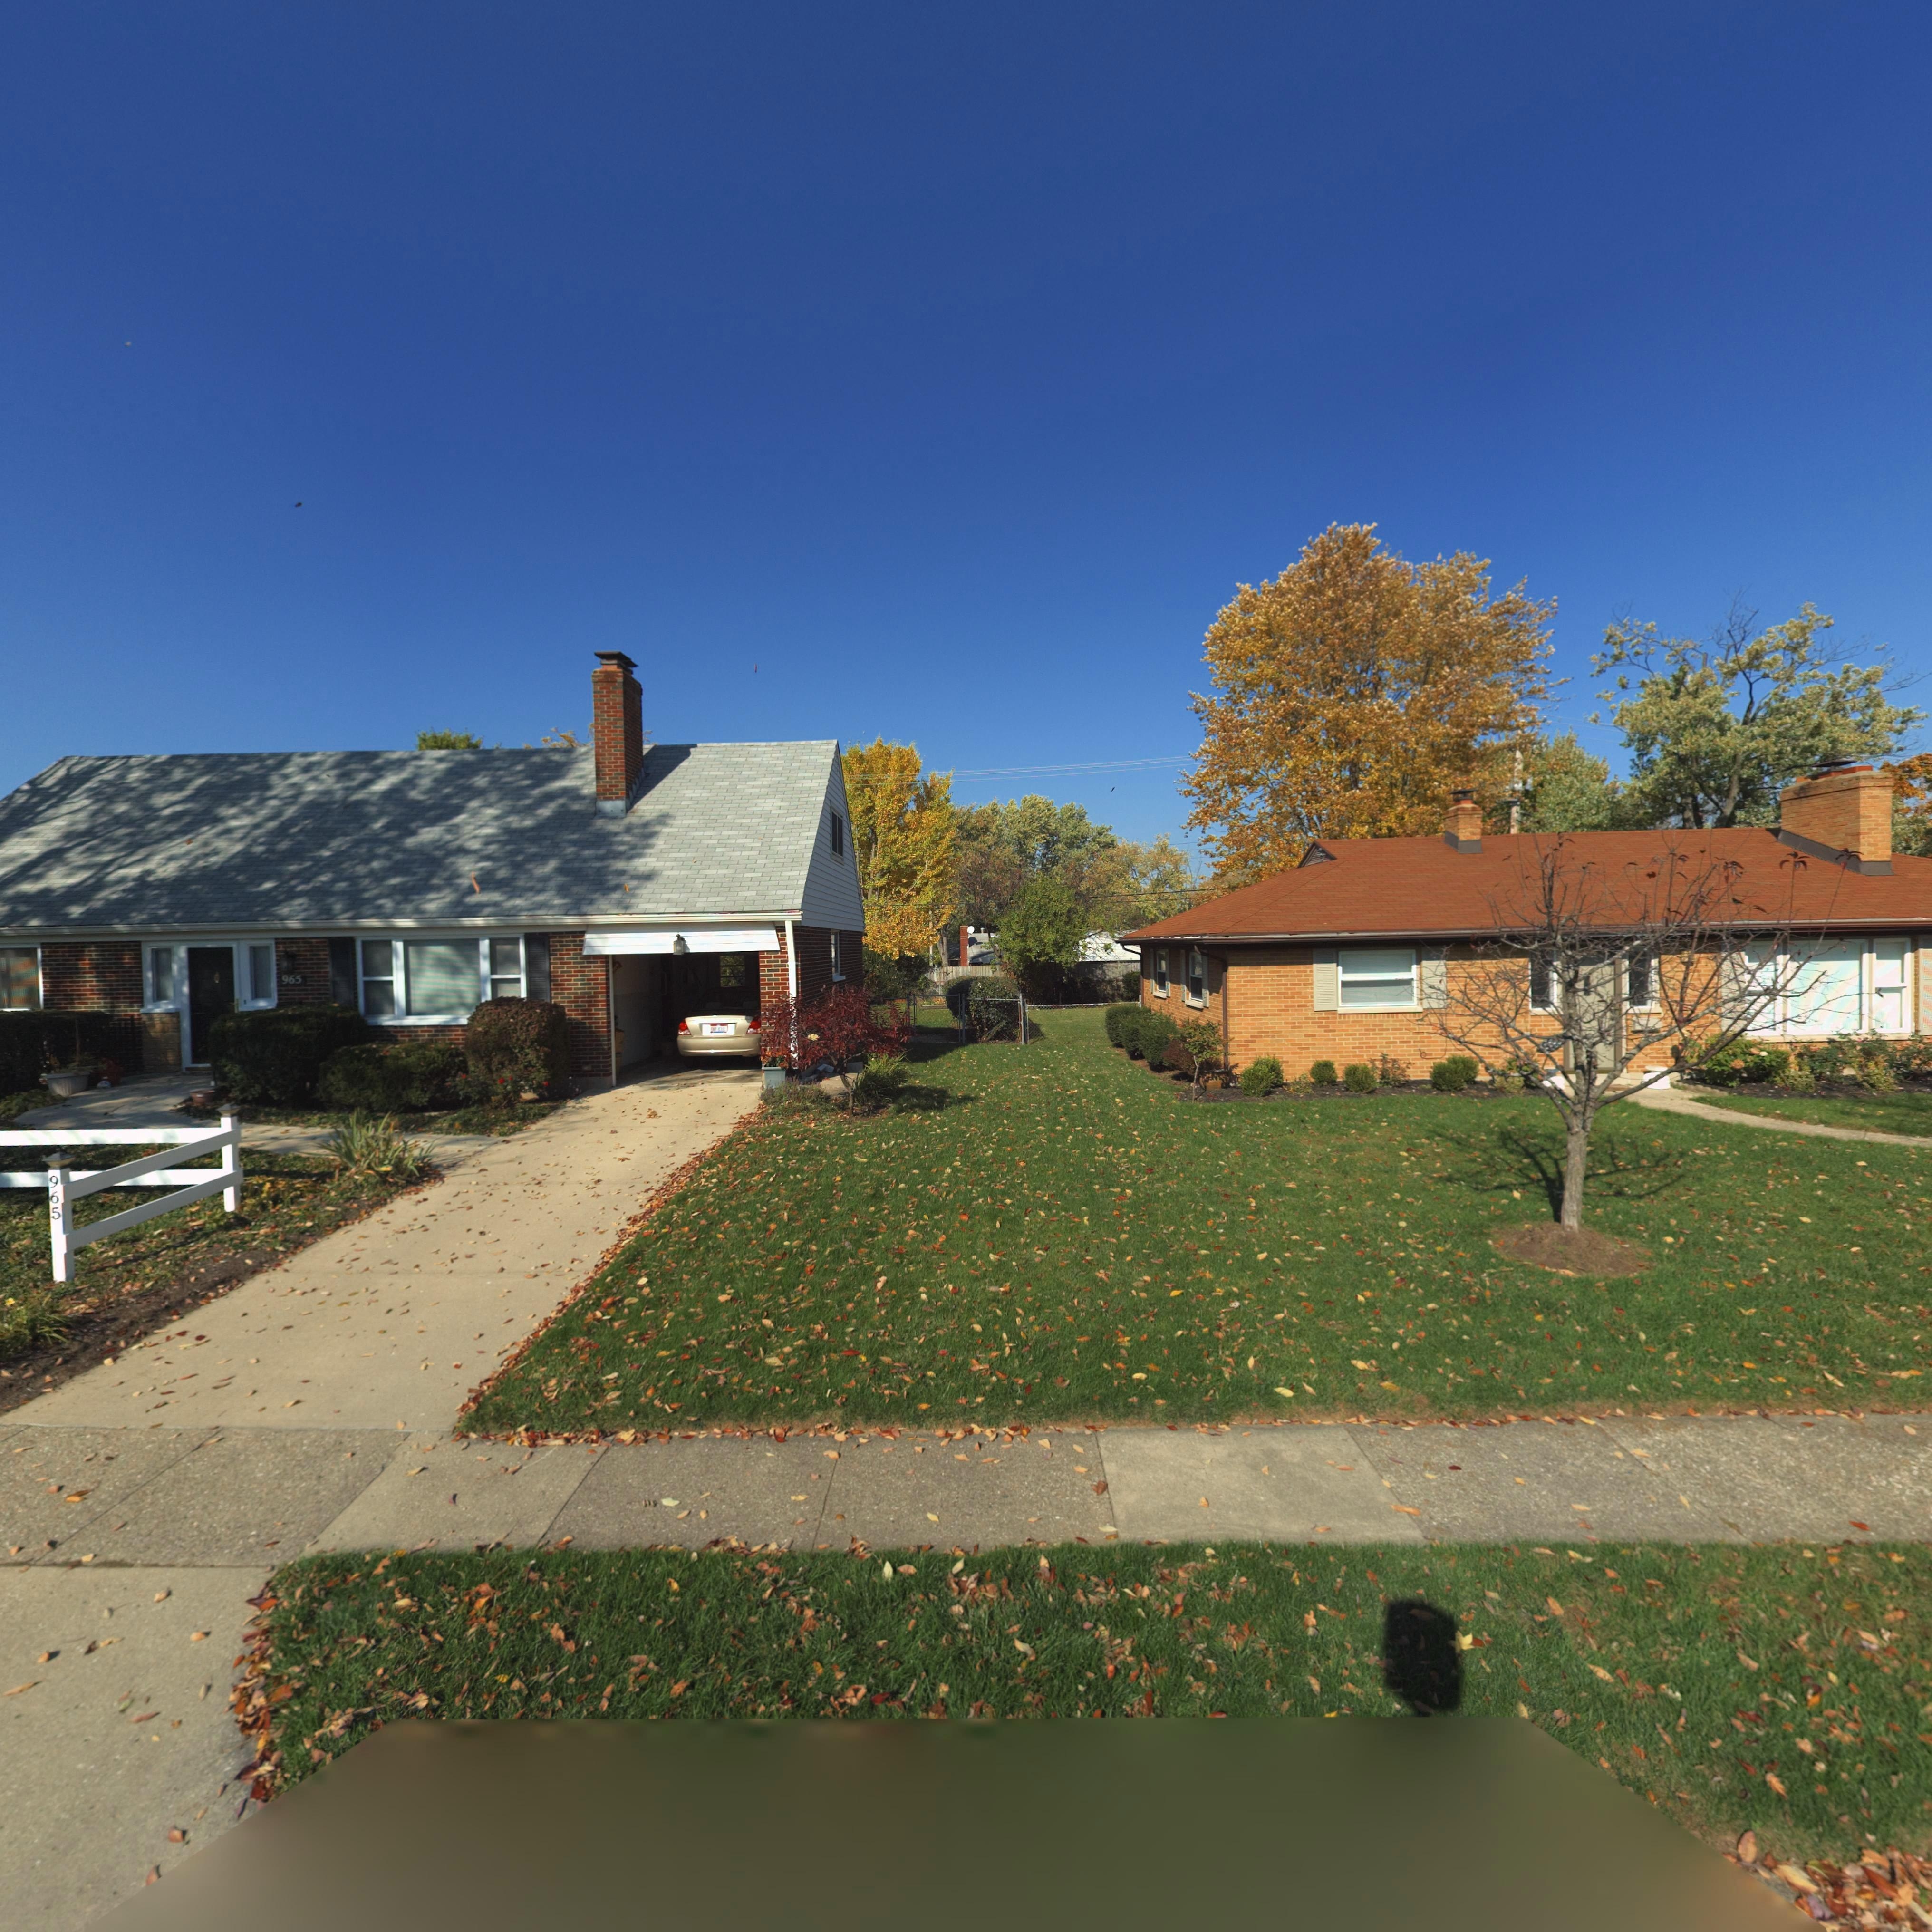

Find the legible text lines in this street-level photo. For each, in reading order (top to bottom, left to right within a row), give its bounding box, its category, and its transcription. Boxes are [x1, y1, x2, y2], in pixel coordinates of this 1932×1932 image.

[281, 975, 302, 985] StreetNumber: 965
[49, 1175, 61, 1220] StreetNumber: 965